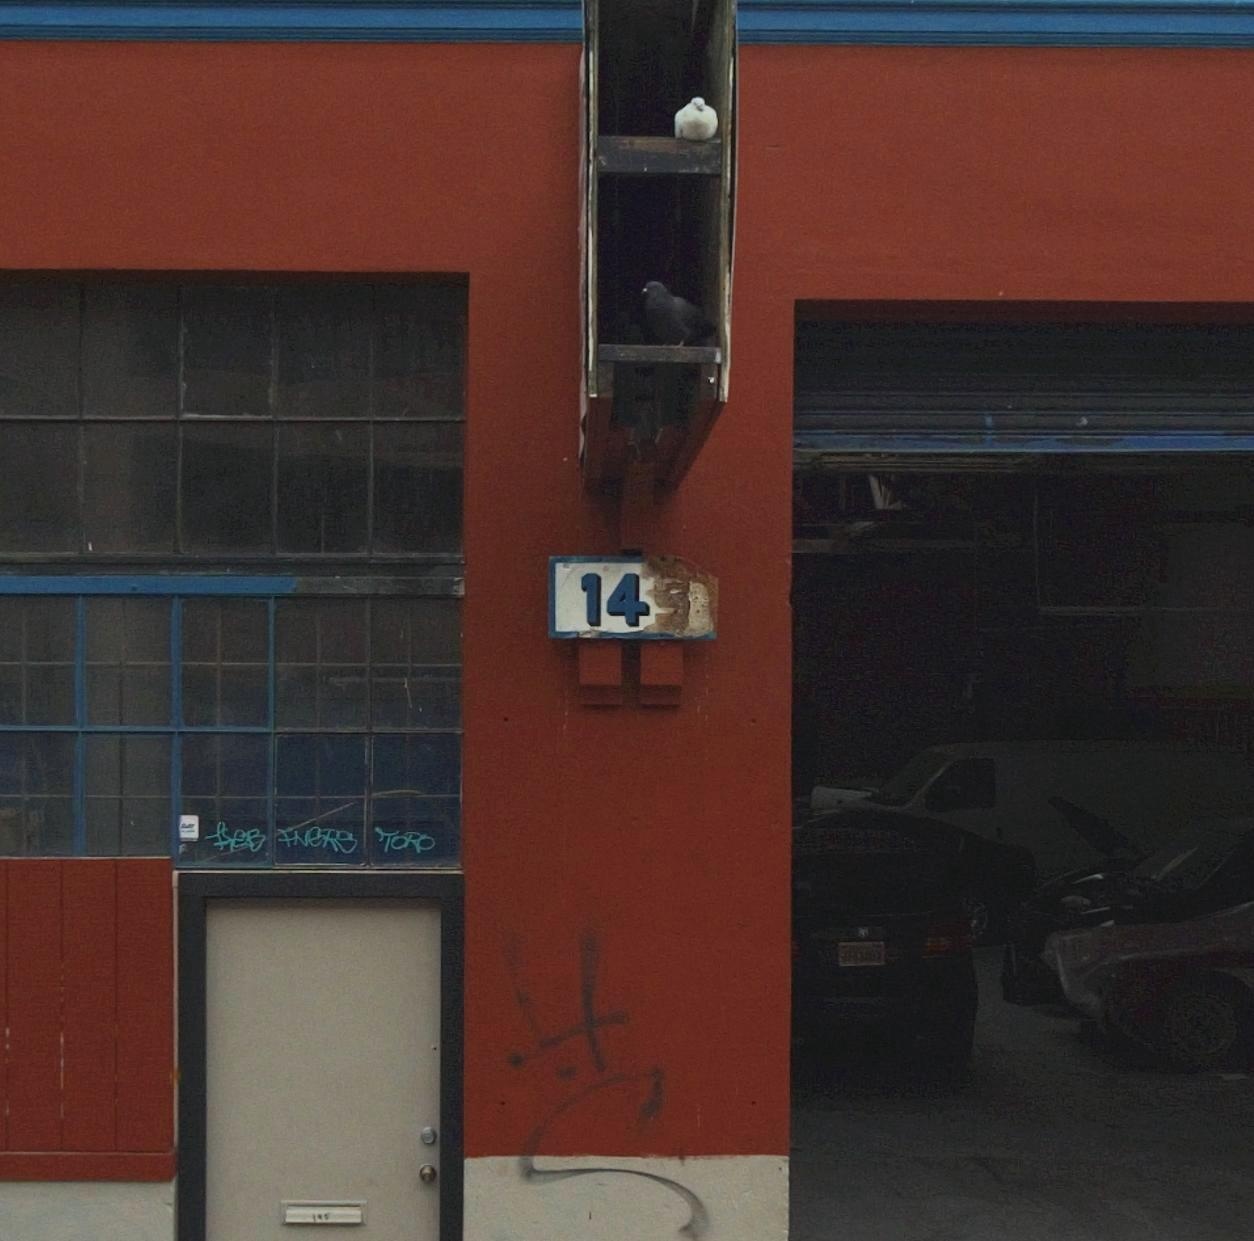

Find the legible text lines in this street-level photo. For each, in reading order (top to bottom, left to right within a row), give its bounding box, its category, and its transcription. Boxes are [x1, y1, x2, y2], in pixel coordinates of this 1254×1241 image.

[580, 569, 693, 632] StreetNumber: 14*
[310, 1212, 331, 1223] StreetNumber: 145